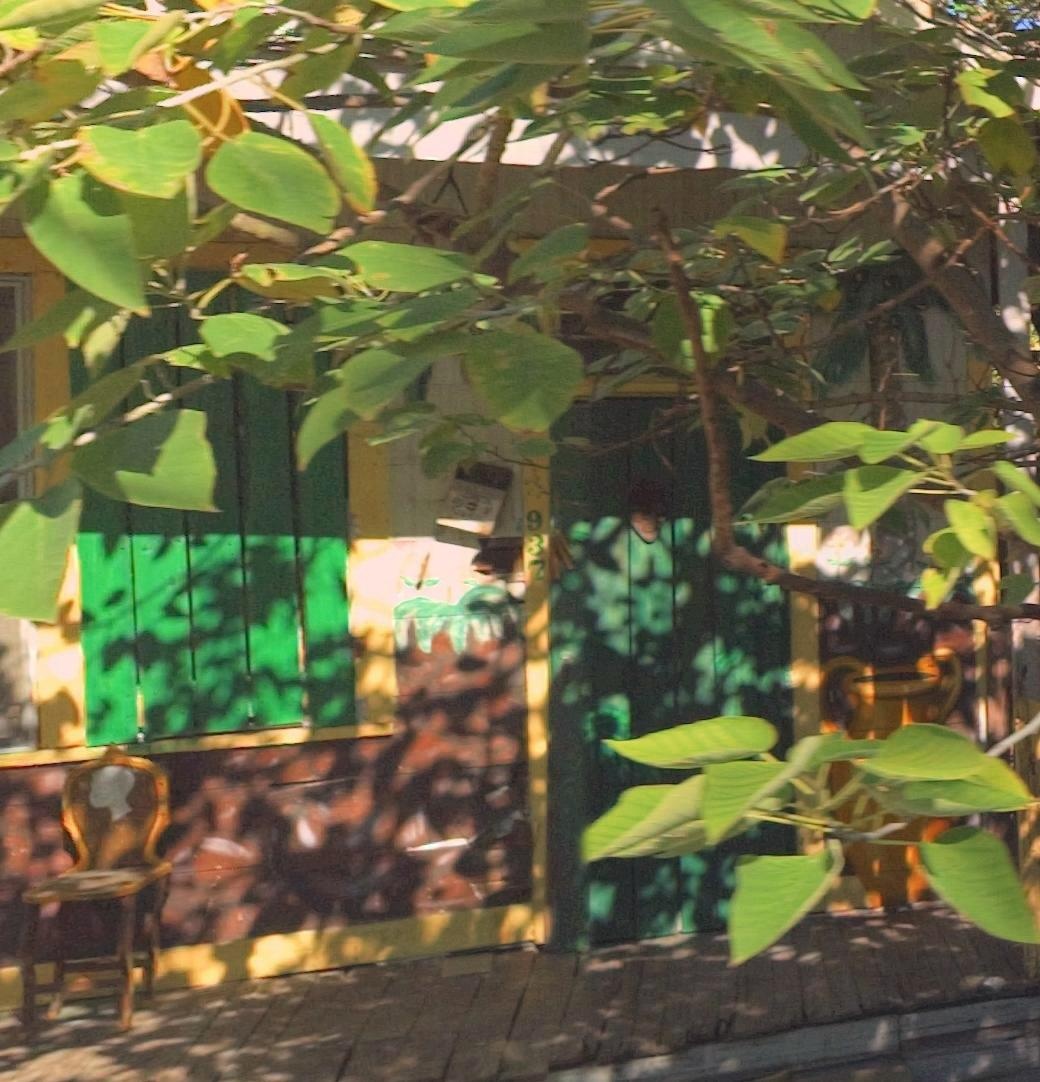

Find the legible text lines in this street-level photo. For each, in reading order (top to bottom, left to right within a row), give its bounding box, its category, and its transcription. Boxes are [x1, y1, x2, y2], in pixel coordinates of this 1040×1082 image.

[524, 508, 549, 583] StreetNumber: 937